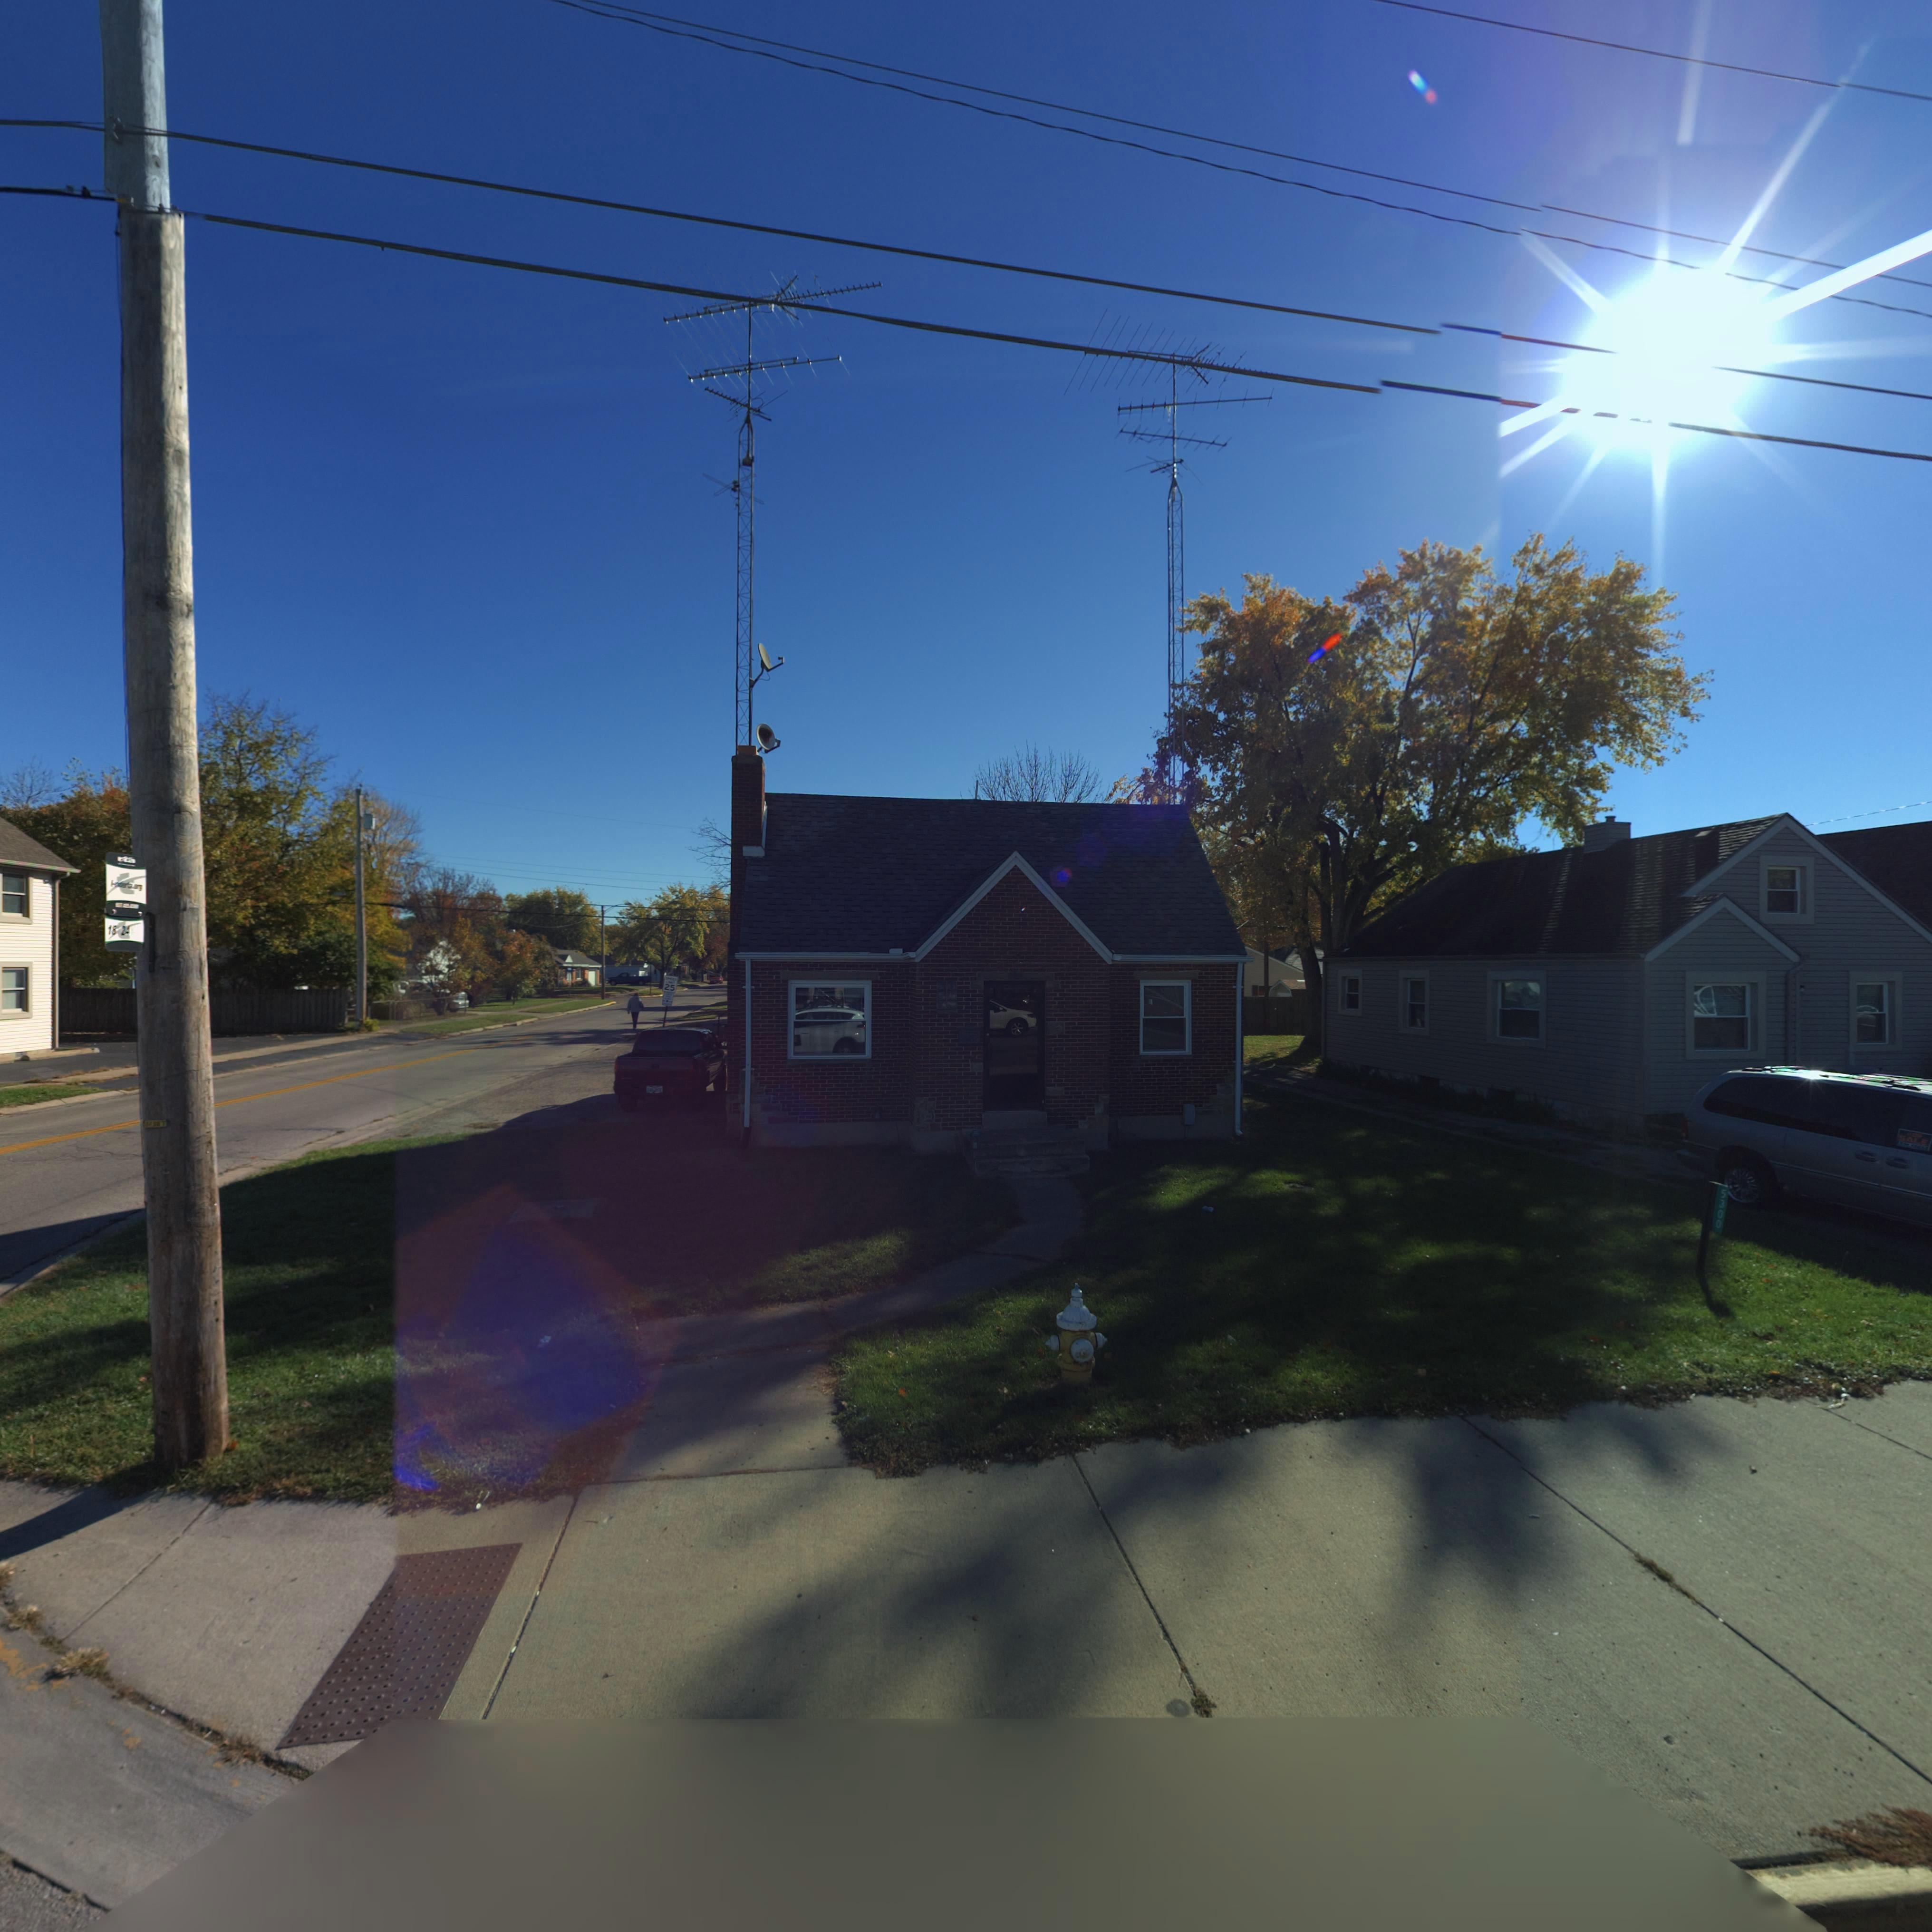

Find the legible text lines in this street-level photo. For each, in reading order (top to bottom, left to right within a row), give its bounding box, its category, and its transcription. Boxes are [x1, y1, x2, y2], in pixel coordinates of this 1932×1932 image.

[1714, 1188, 1727, 1229] StreetNumber: 5300